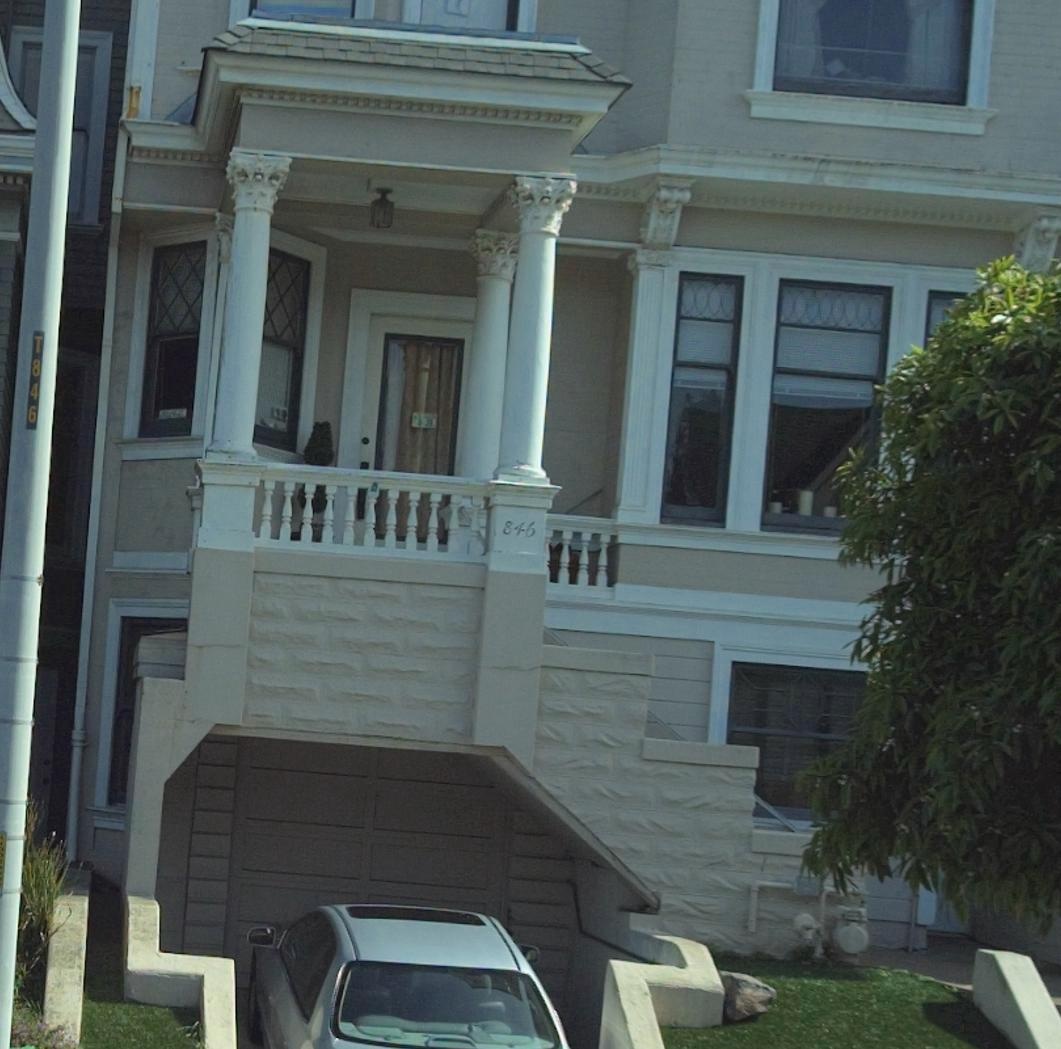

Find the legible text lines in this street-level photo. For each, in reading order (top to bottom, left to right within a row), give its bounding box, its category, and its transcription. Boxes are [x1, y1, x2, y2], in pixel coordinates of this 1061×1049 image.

[500, 518, 539, 540] StreetNumber: 846